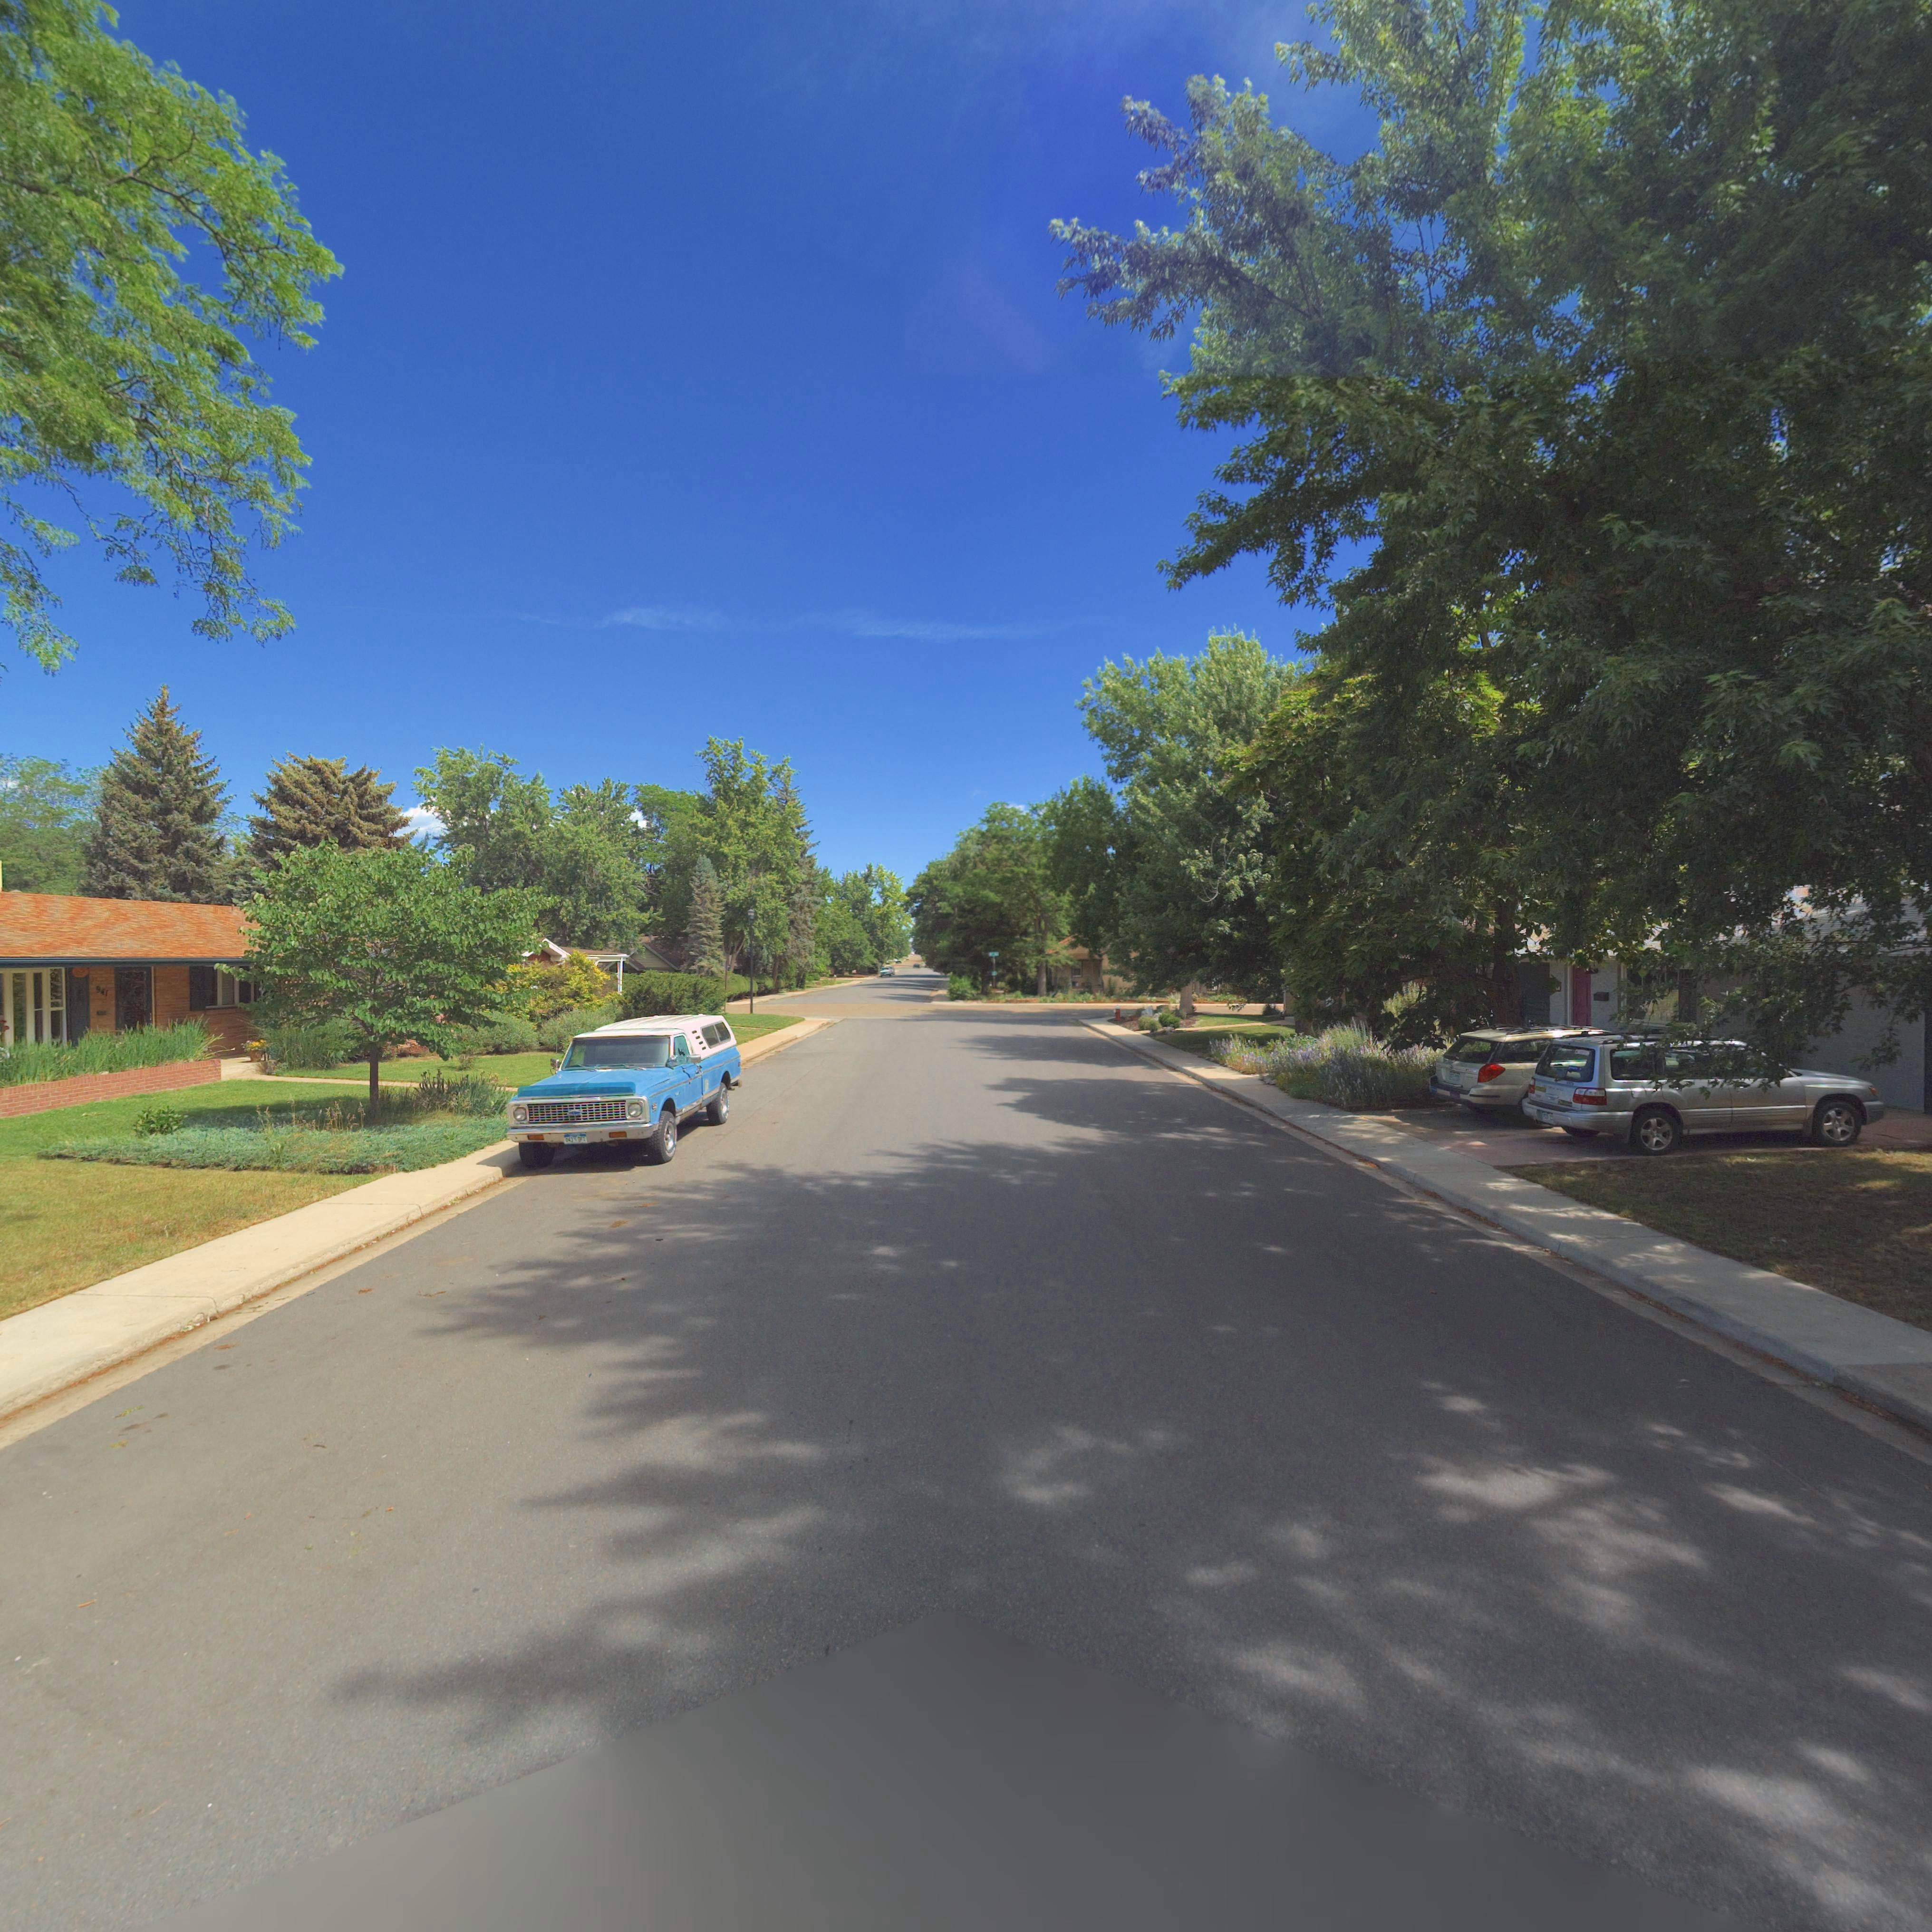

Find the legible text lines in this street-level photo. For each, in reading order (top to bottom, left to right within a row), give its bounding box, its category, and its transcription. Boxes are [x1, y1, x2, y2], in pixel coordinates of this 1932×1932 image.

[96, 985, 108, 996] StreetNumber: 941